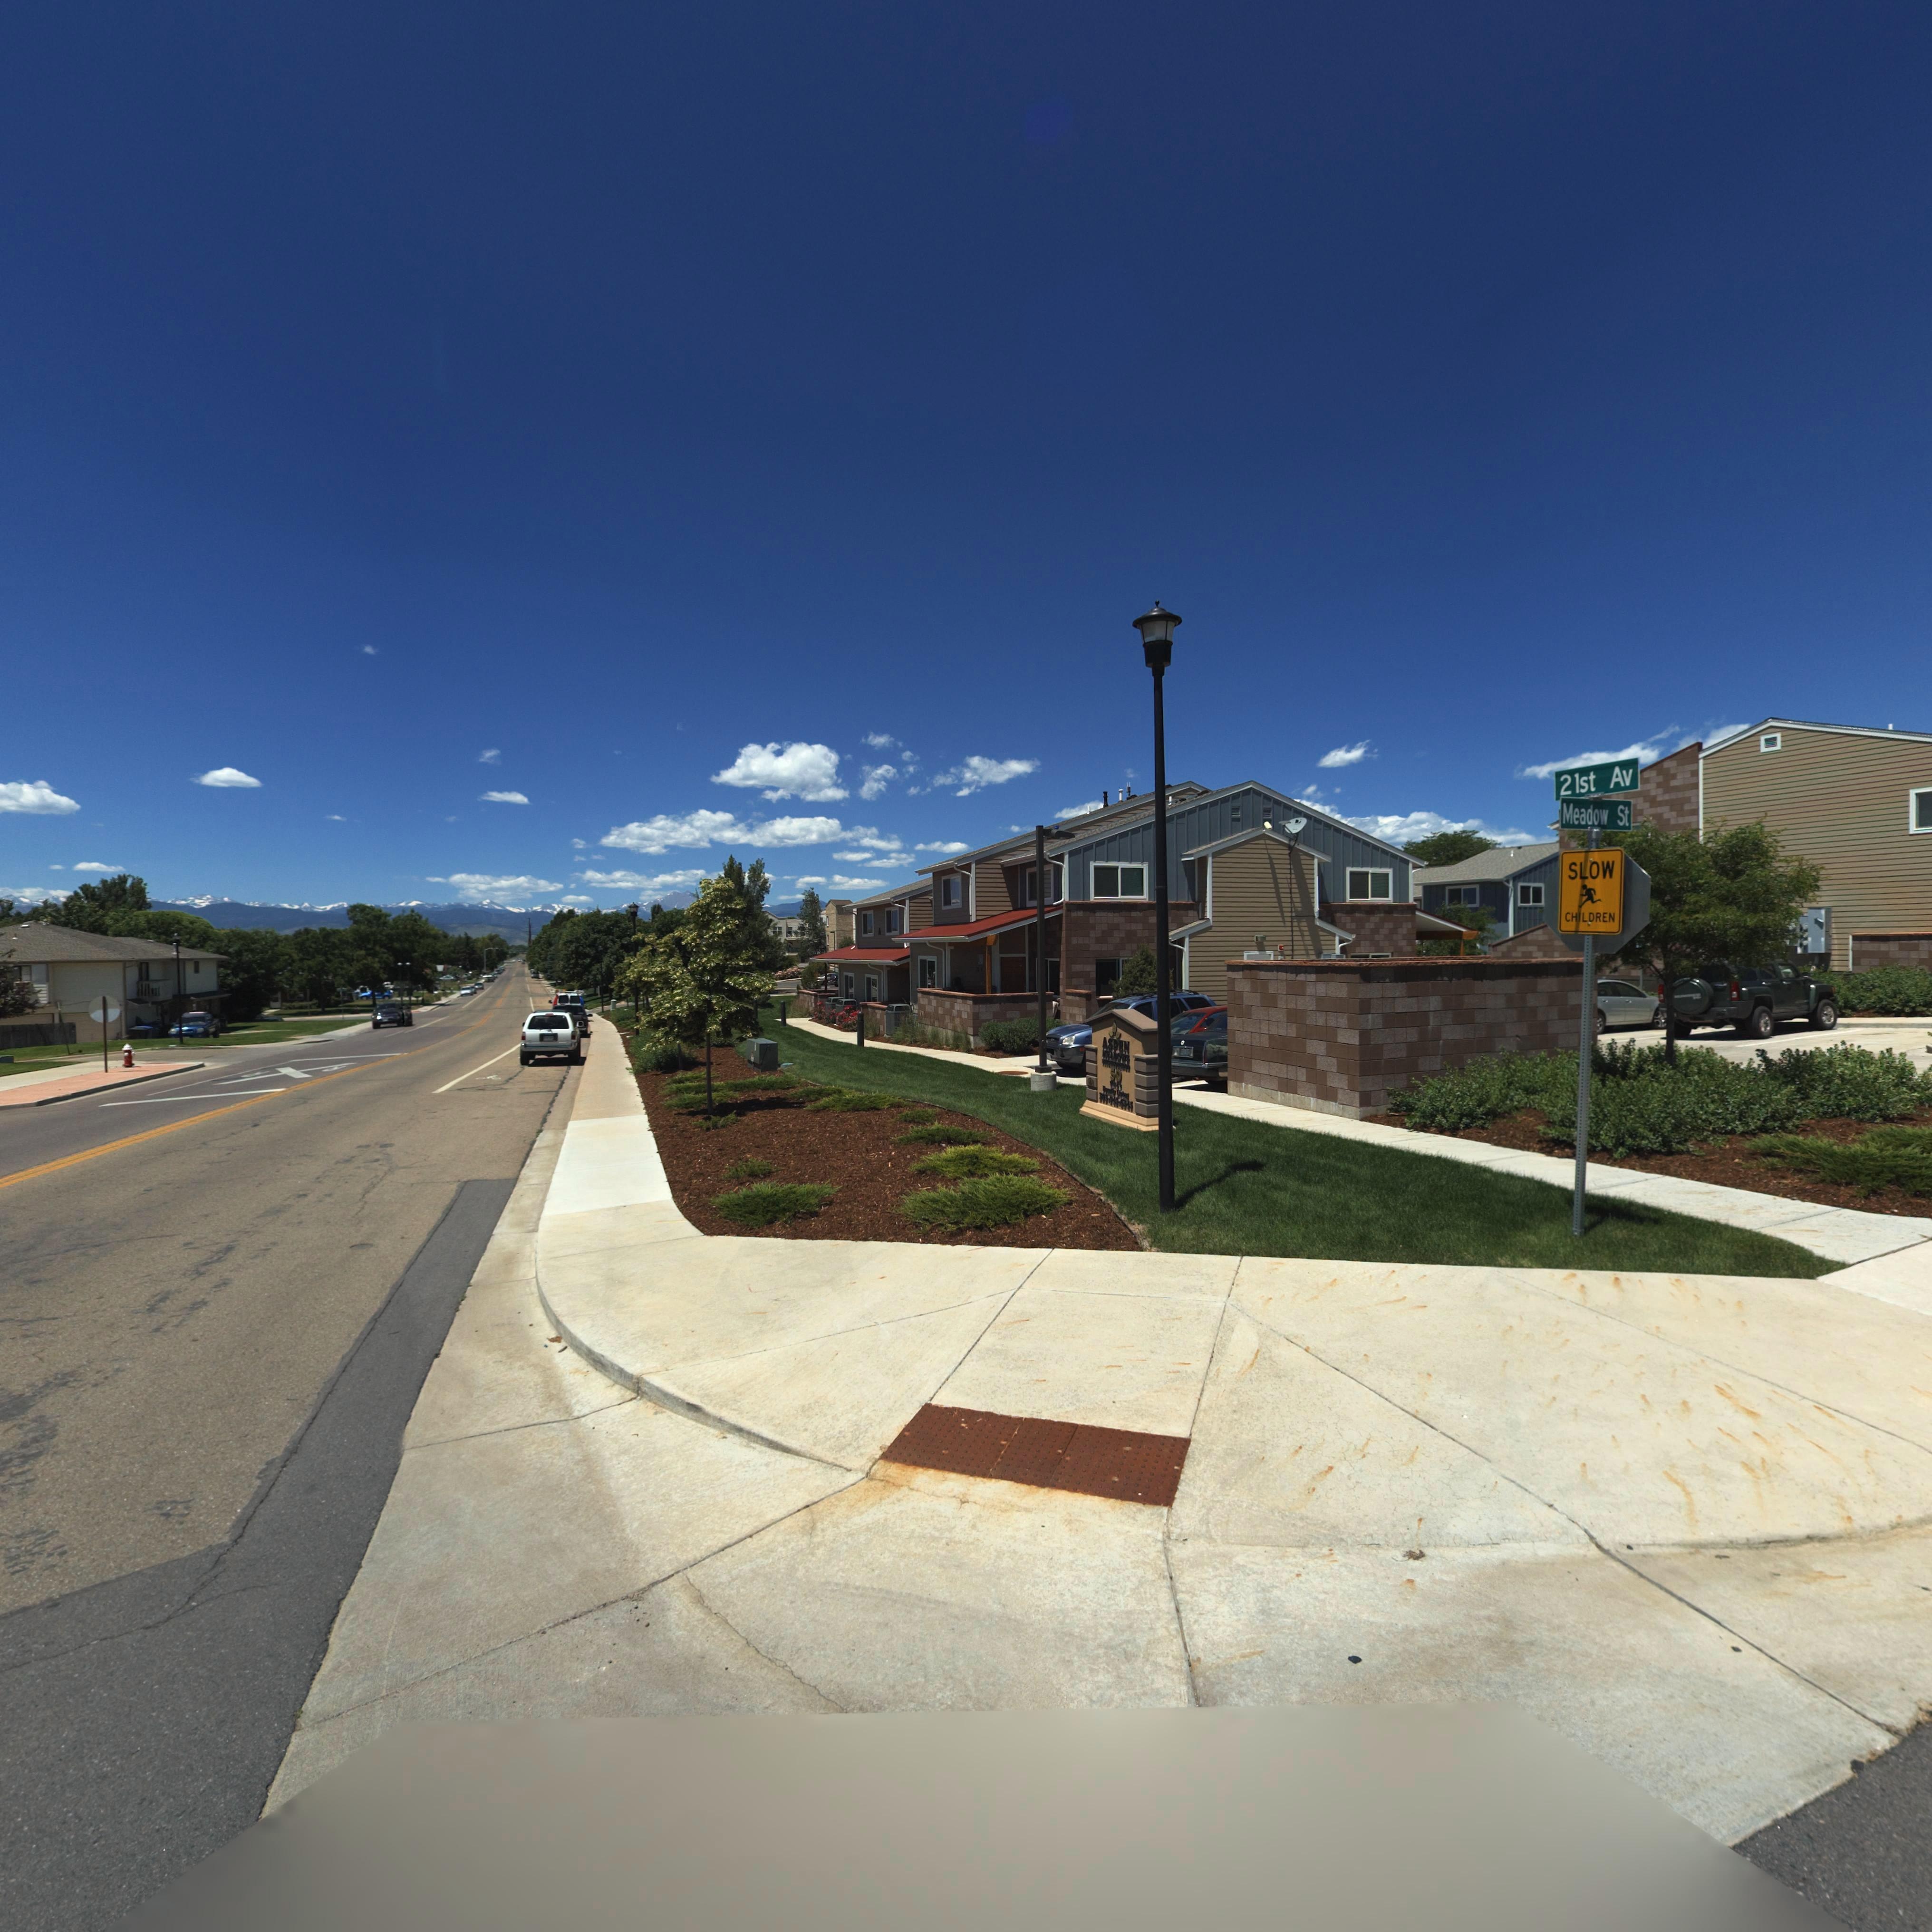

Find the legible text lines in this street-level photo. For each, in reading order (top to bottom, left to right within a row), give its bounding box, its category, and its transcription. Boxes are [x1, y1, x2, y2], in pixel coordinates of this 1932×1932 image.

[1559, 765, 1633, 796] StreetName: 21st Av
[1563, 802, 1630, 826] StreetName: Meadow St